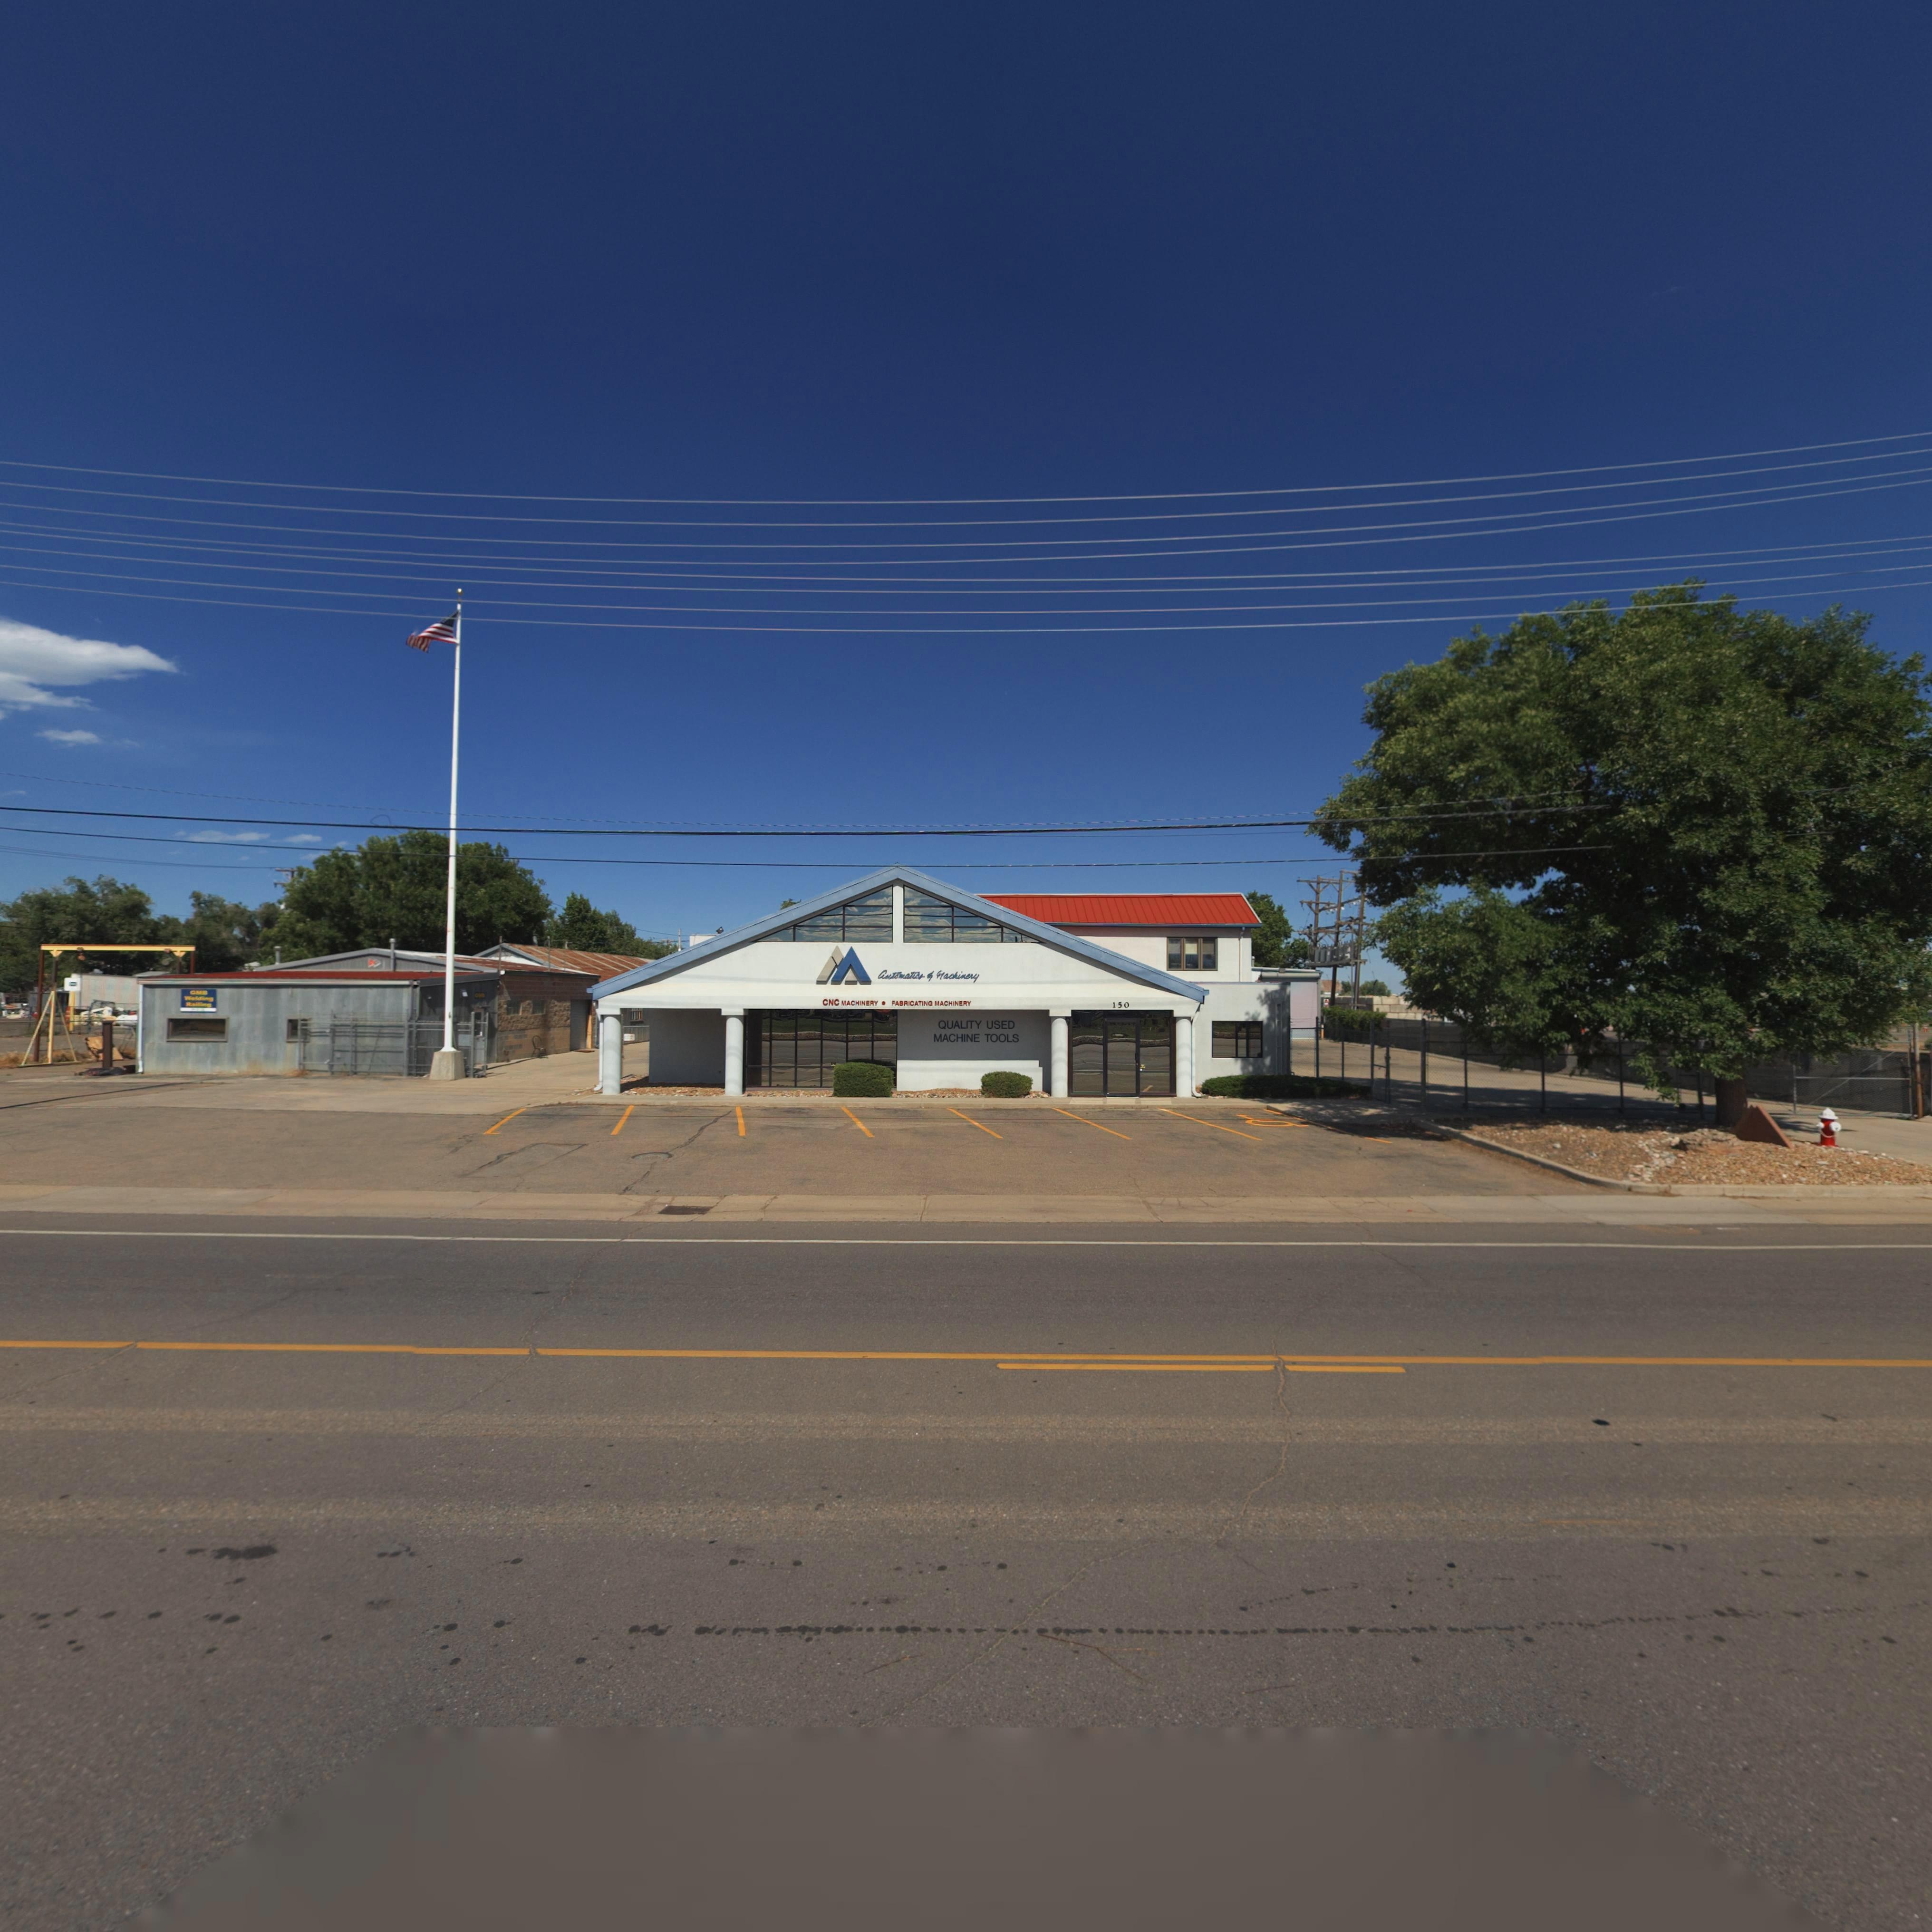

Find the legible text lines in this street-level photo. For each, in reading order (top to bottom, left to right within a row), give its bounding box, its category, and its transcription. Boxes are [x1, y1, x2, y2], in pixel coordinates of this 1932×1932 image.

[190, 990, 207, 995] BusinessName: GMB
[184, 995, 214, 1002] BusinessName: Welding
[185, 1001, 212, 1008] BusinessName: Railing
[1112, 1001, 1129, 1008] StreetNumber: 150